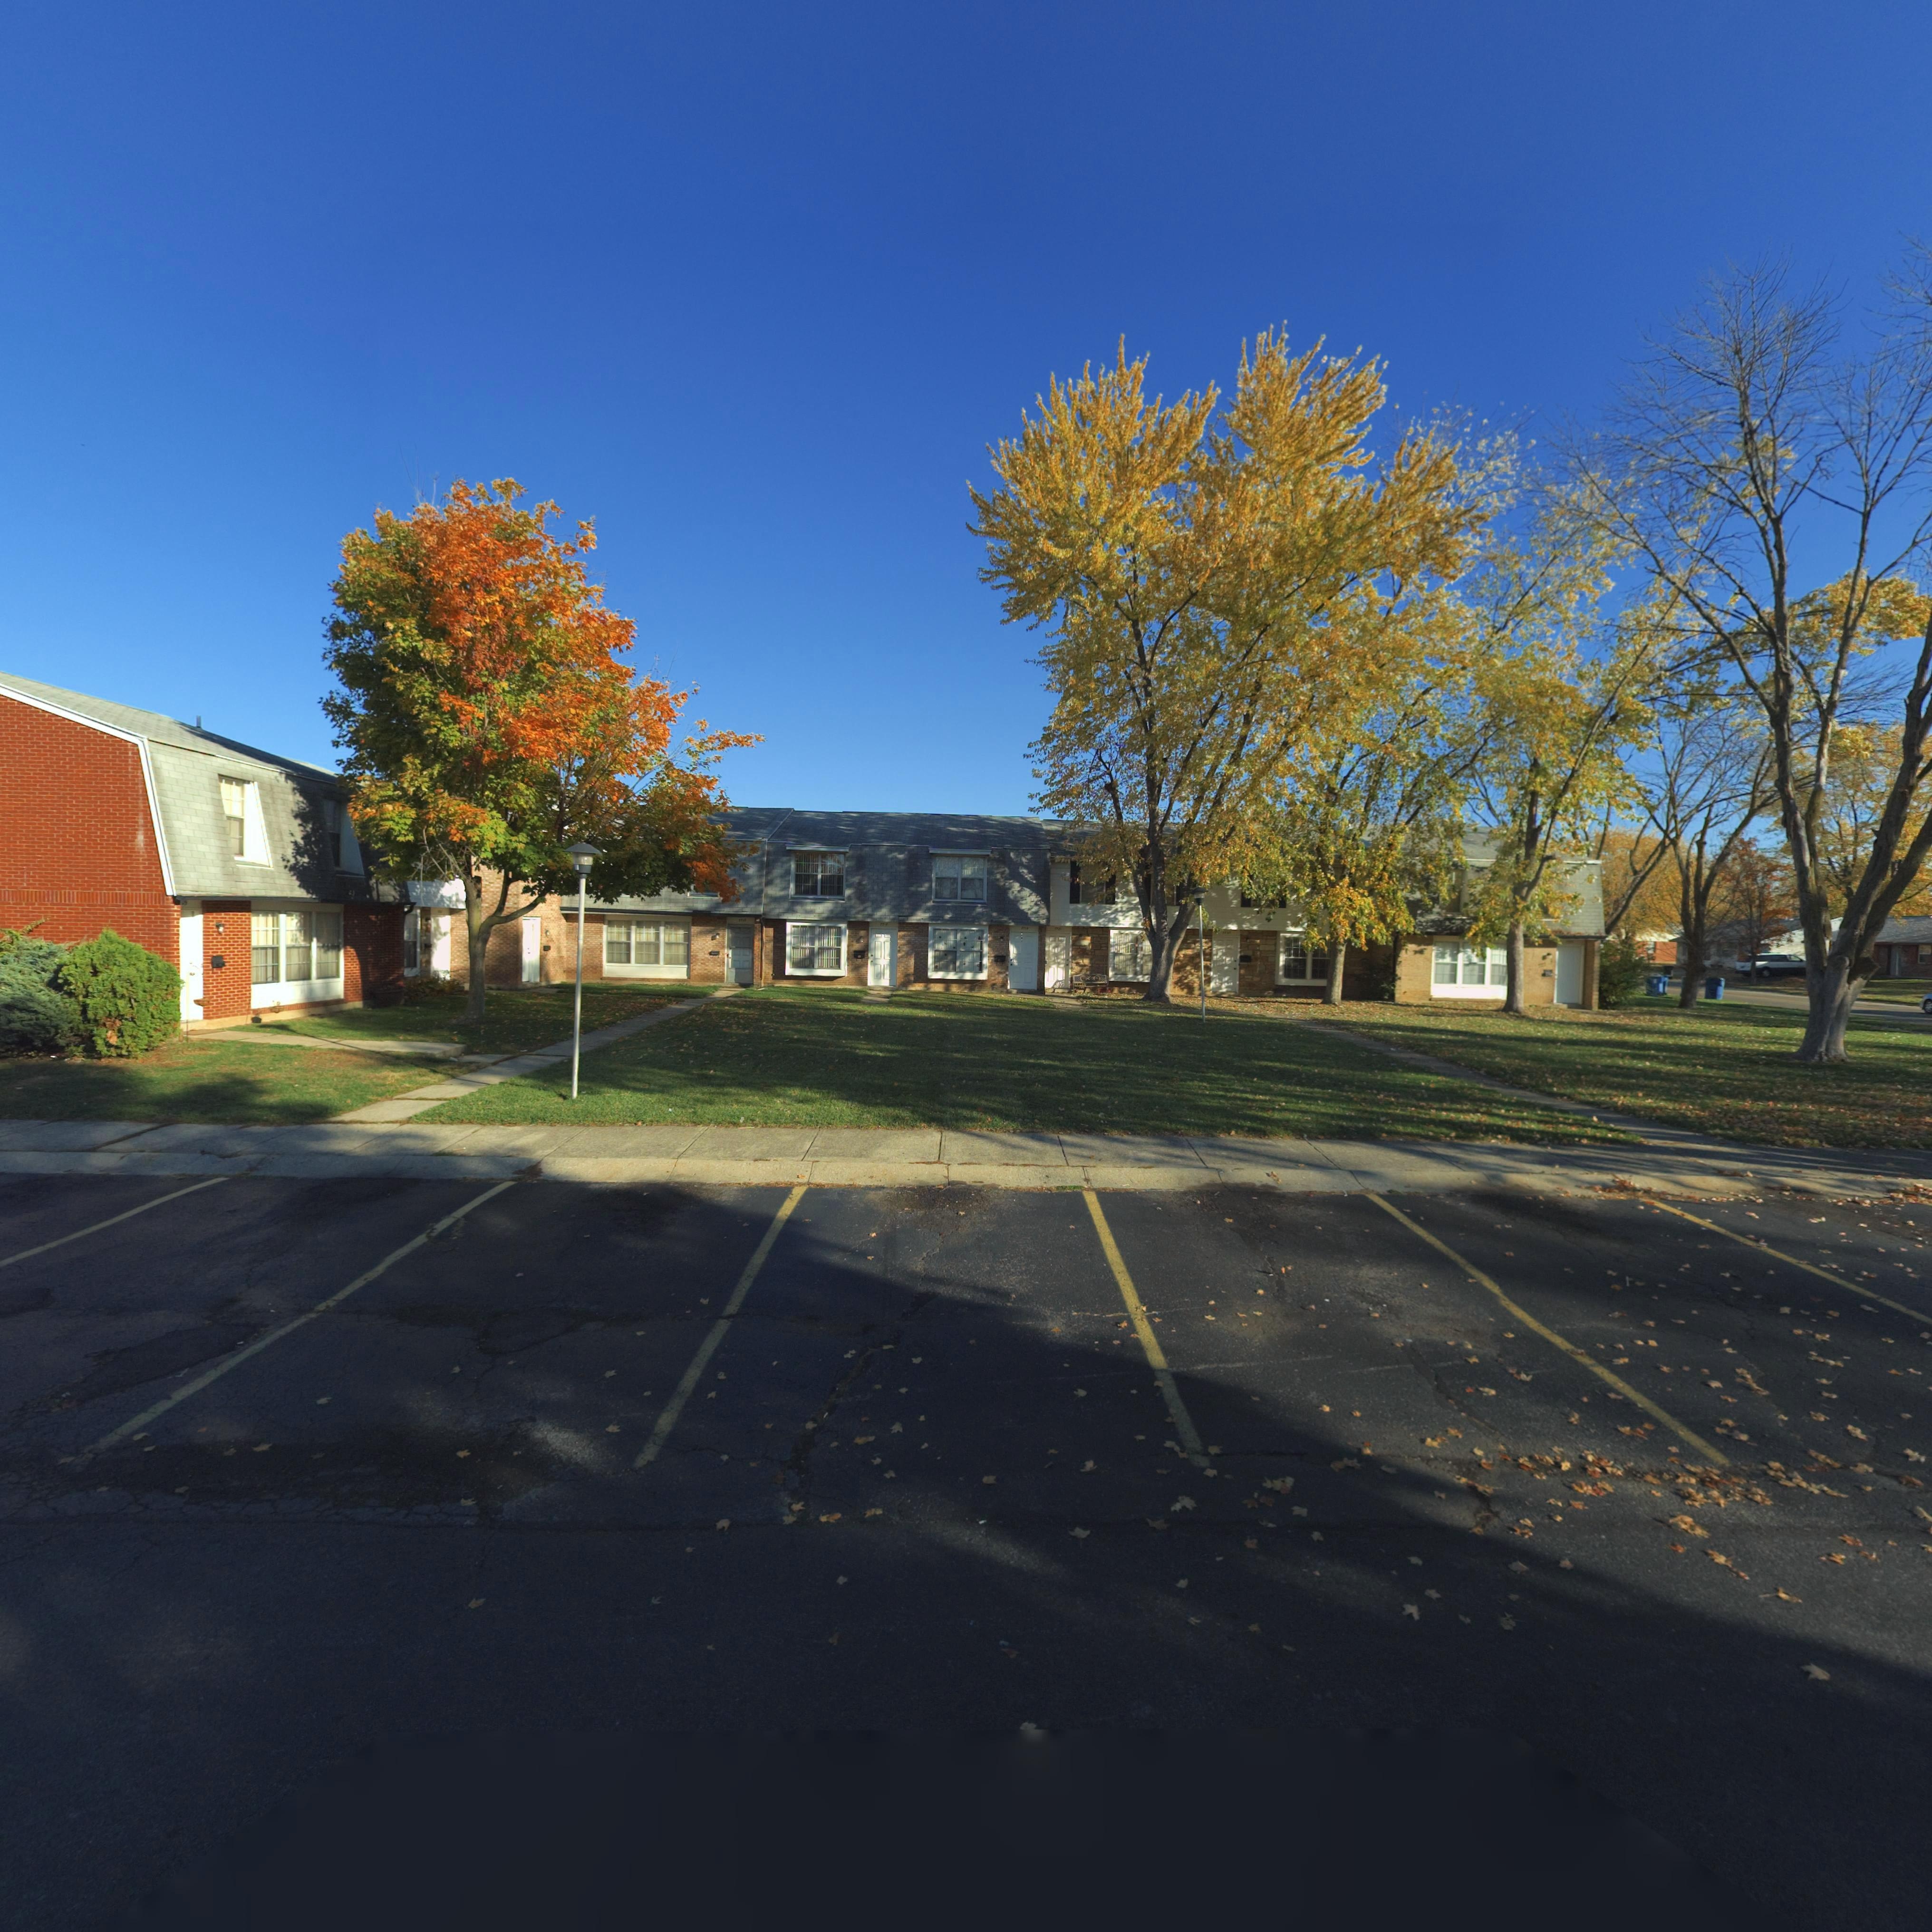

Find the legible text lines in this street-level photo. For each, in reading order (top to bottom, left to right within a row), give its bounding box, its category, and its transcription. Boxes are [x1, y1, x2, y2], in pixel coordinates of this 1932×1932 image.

[184, 900, 188, 906] StreetNumber: 9
[738, 918, 747, 922] StreetNumber: 7715
[879, 922, 888, 926] StreetNumber: 771*
[1021, 926, 1029, 930] StreetNumber: 7719
[1053, 927, 1063, 931] StreetNumber: 7721
[1221, 931, 1232, 935] StreetNumber: *7**